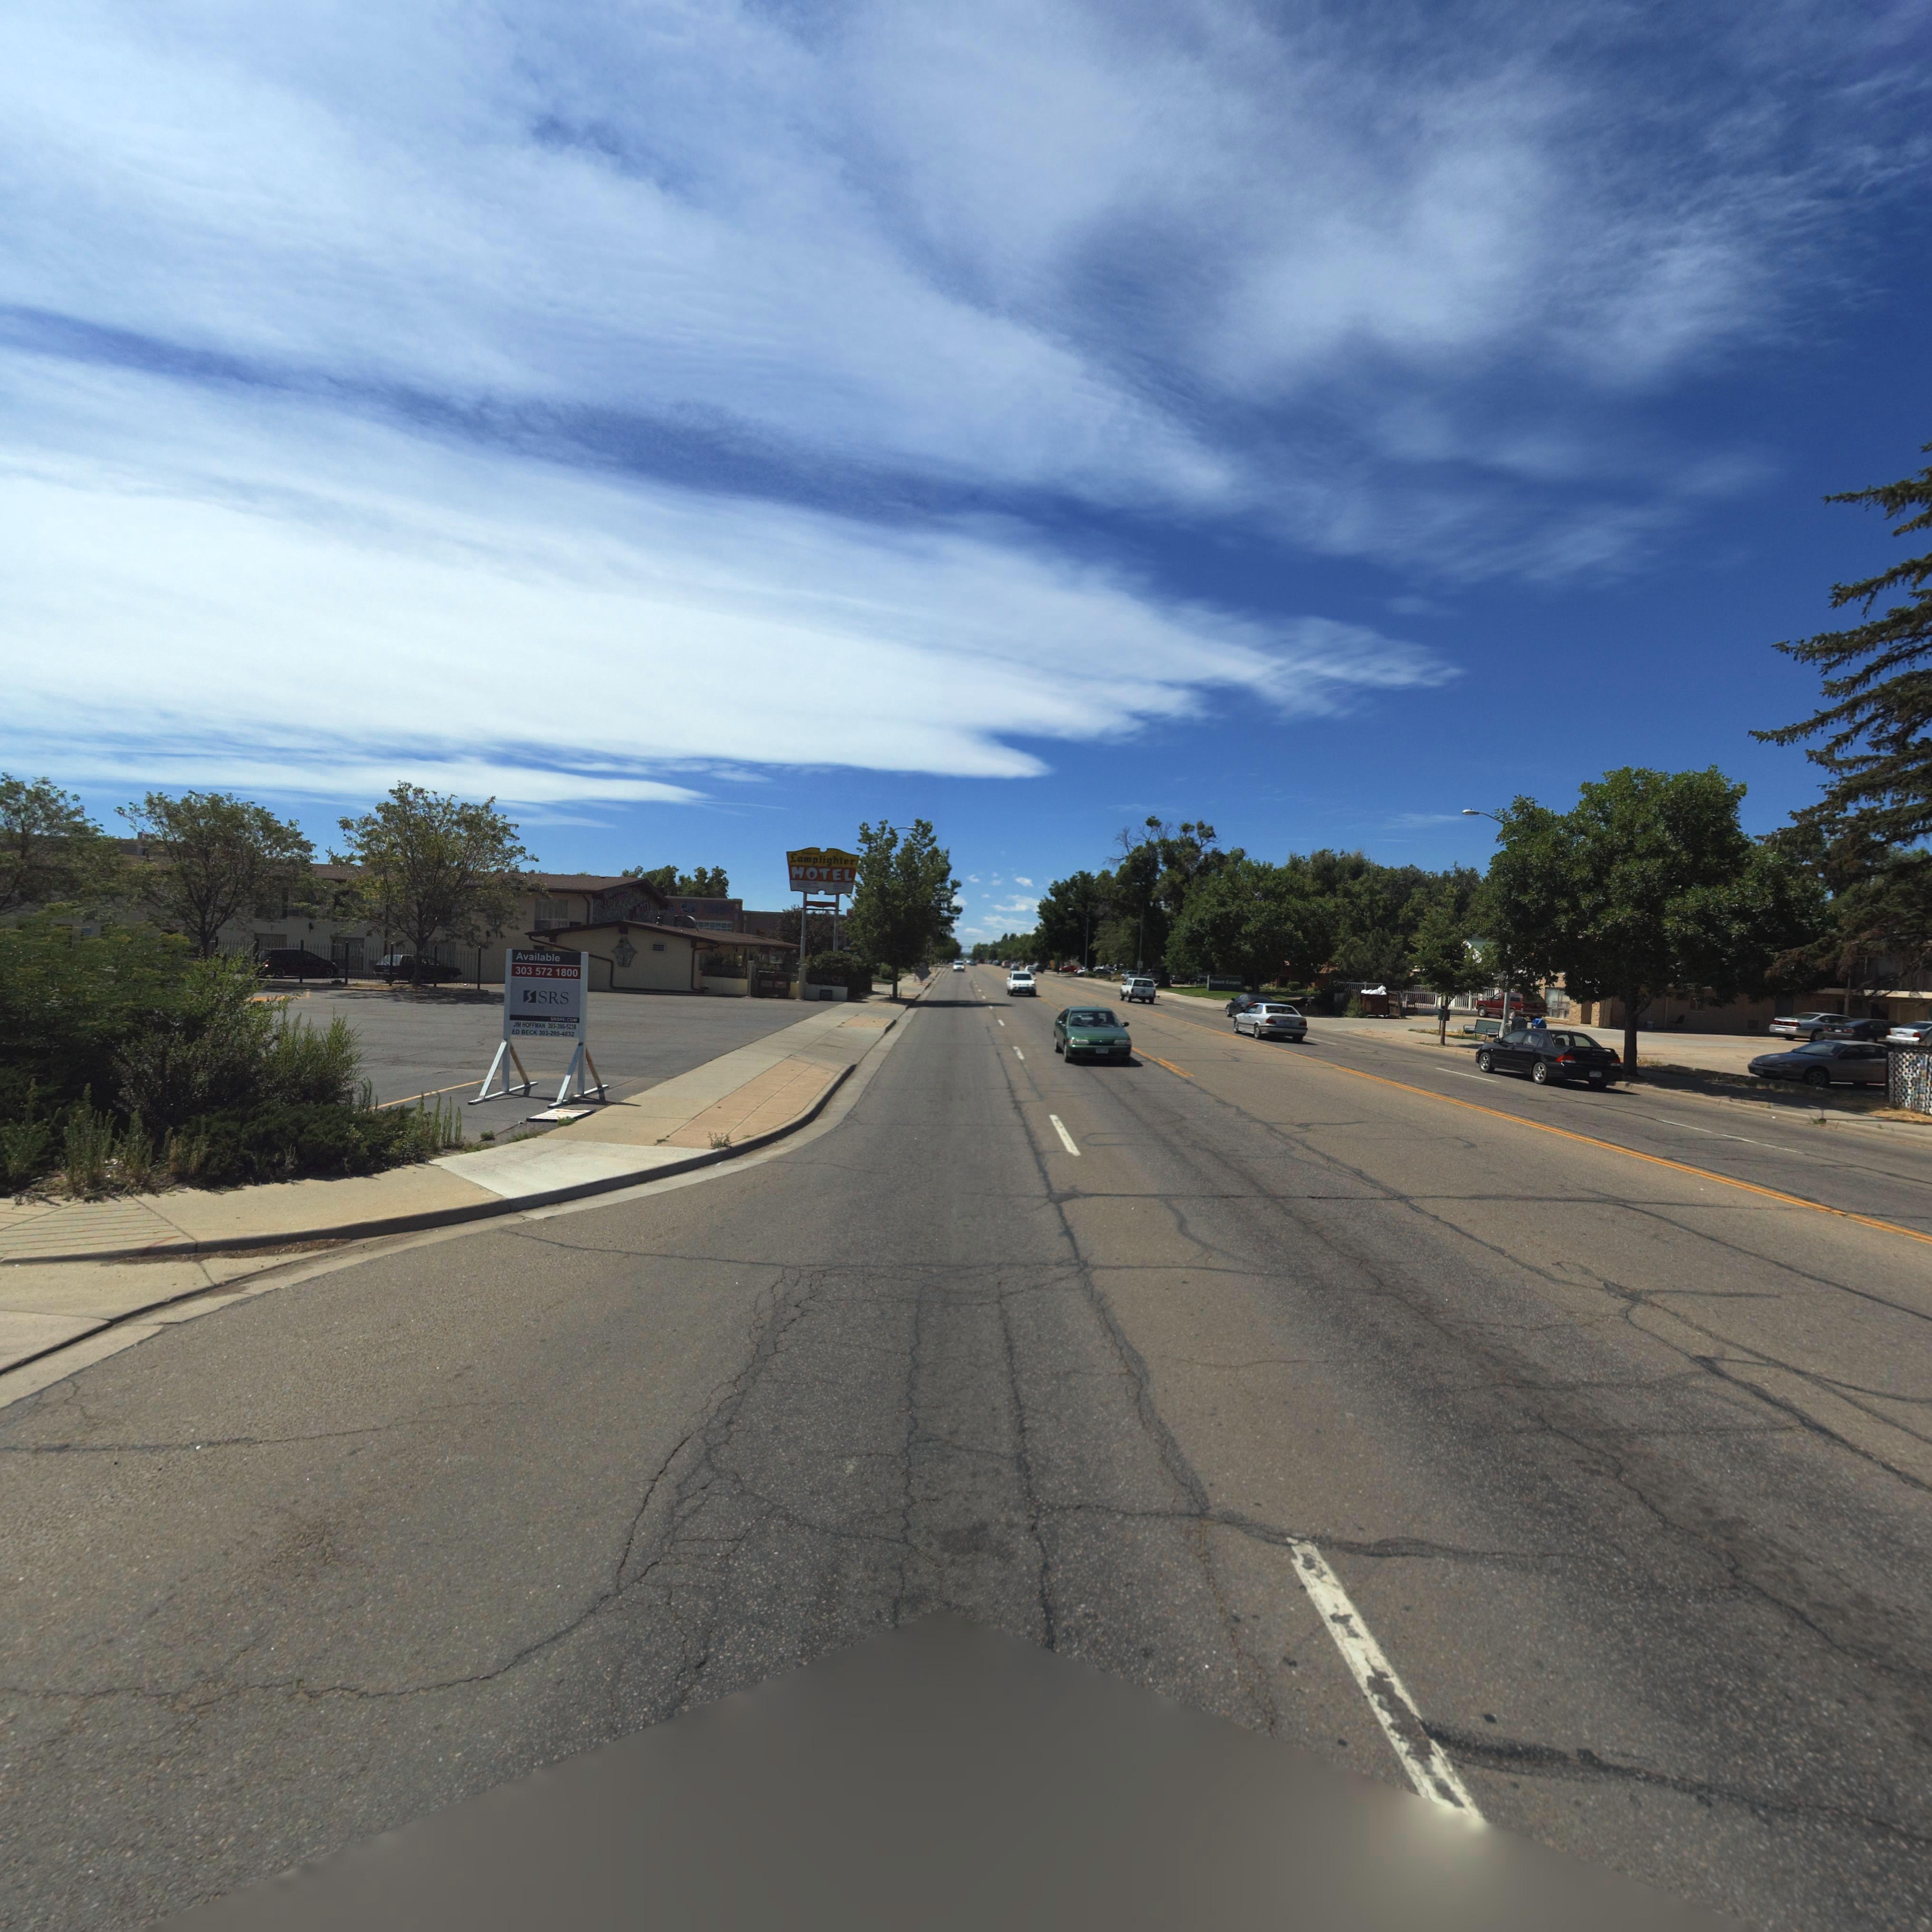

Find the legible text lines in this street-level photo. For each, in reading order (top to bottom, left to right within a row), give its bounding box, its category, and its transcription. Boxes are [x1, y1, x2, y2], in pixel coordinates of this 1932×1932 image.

[790, 852, 856, 866] BusinessName: Lamplighter
[791, 866, 852, 881] BusinessName: MOTEL
[603, 890, 629, 909] BusinessName: L********e*
[636, 900, 652, 916] BusinessName: *O***
[667, 903, 696, 913] BusinessName: * 5
[1209, 979, 1241, 985] BusinessName: ******* C*****s